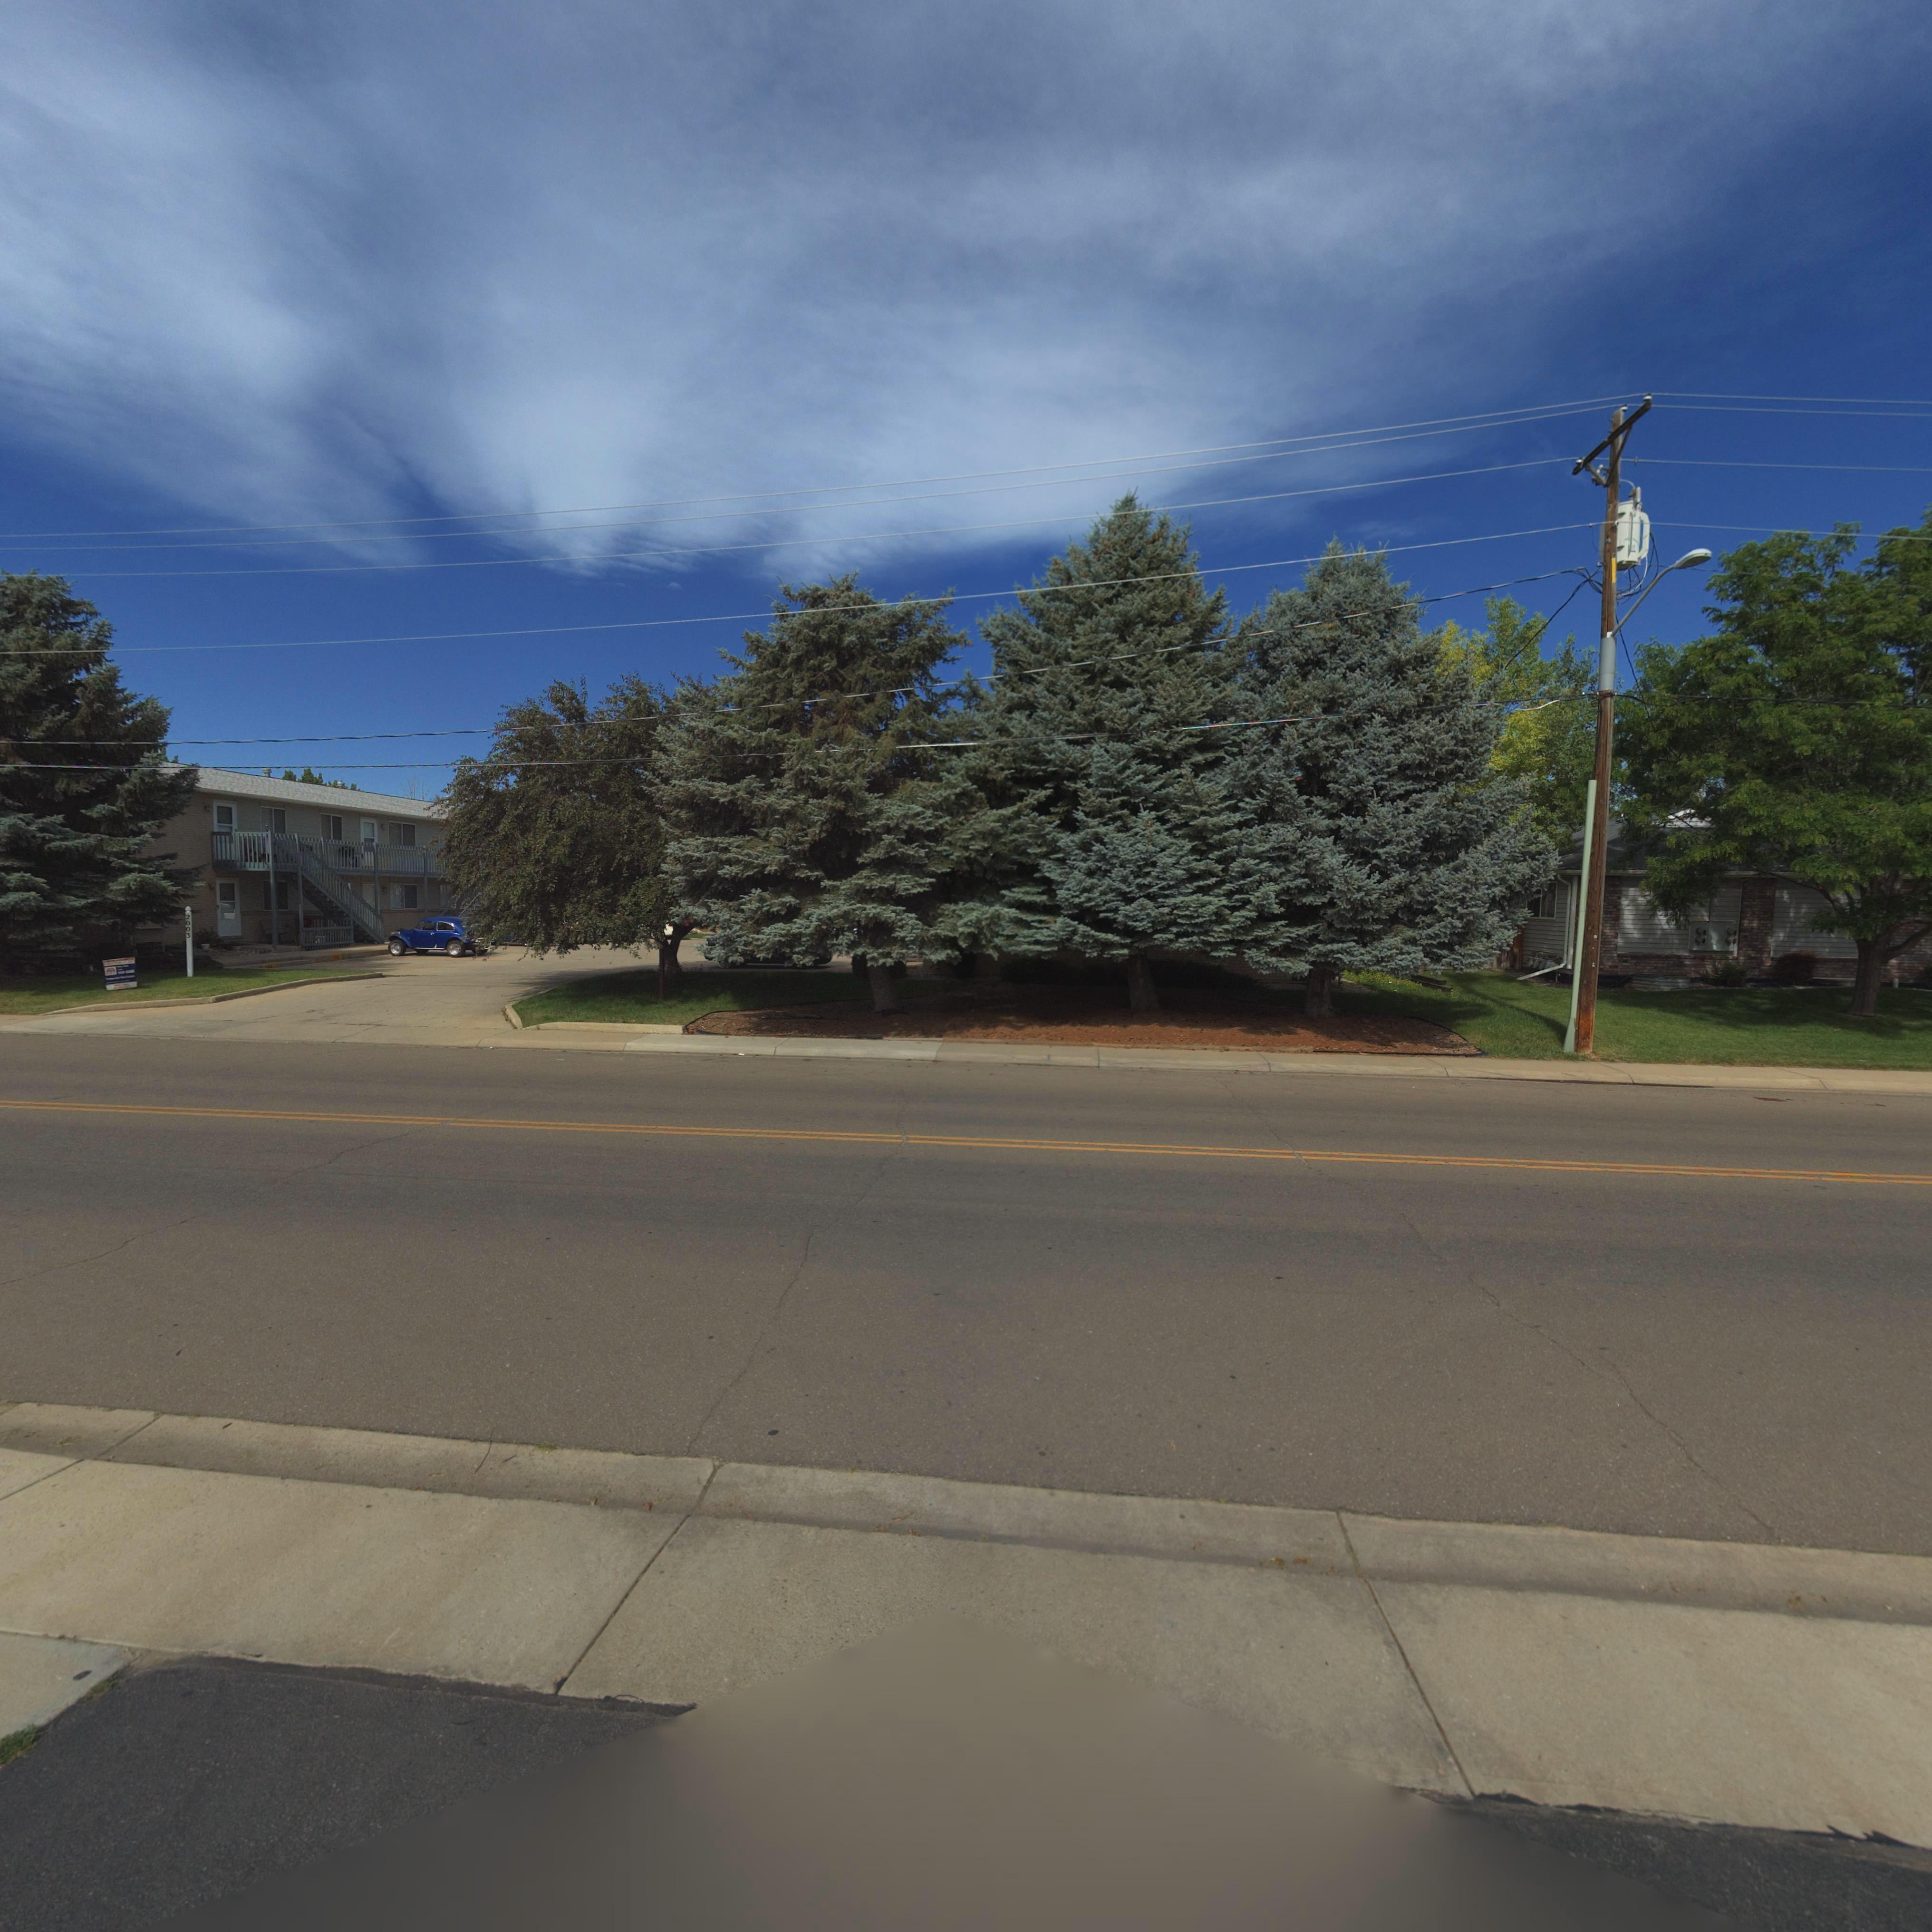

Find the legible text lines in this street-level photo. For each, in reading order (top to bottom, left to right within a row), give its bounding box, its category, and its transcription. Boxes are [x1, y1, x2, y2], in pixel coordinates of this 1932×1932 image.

[185, 914, 191, 938] StreetNumber: 2003